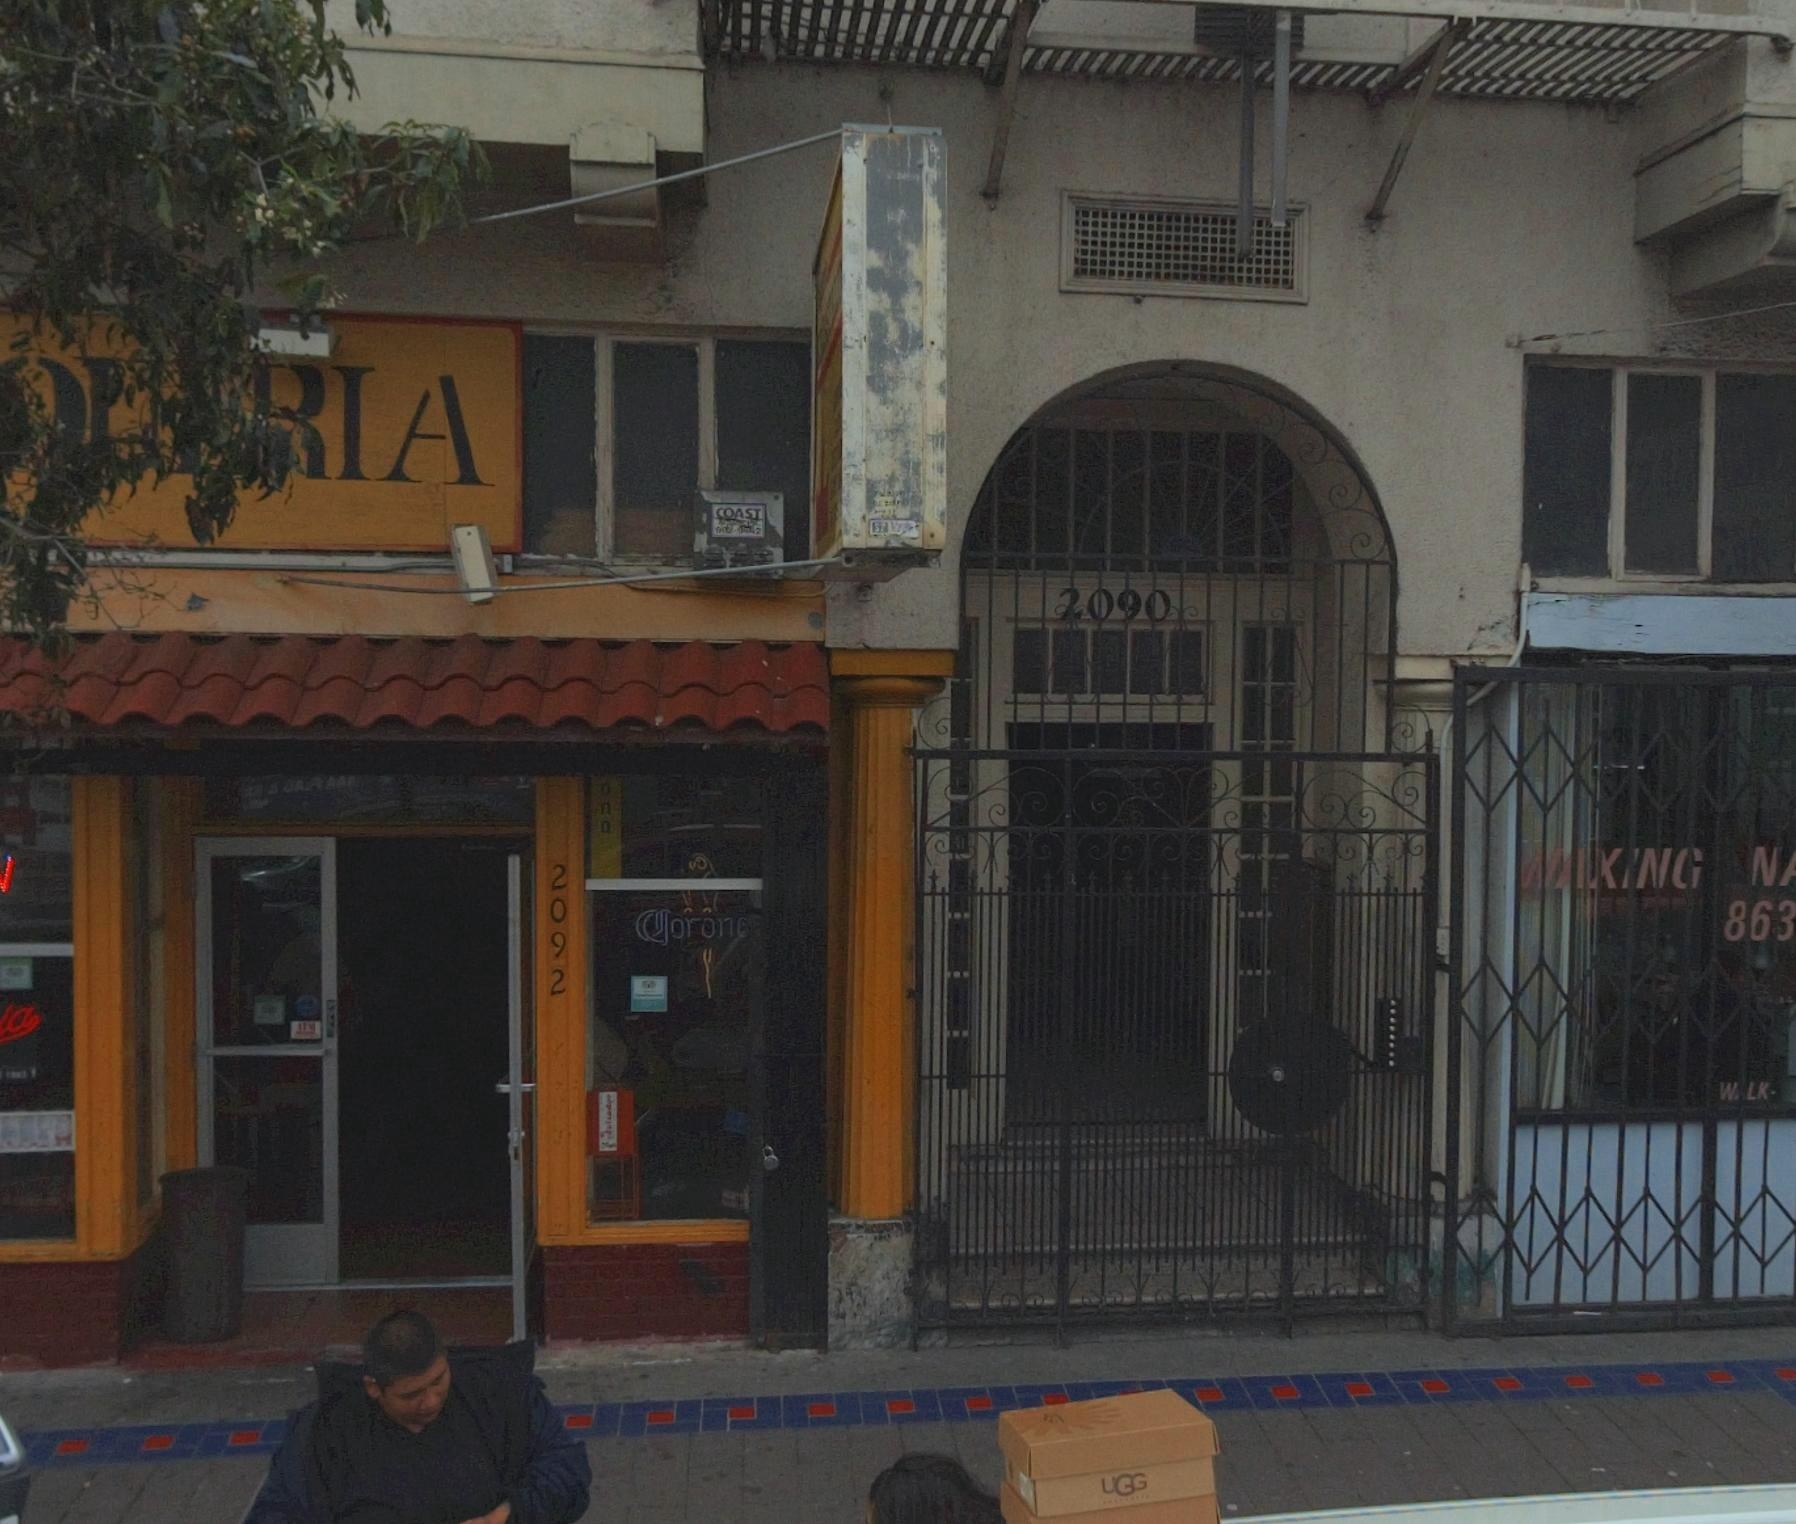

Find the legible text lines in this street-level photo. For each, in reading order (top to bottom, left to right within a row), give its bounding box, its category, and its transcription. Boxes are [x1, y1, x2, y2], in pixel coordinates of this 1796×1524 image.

[326, 358, 503, 490] BusinessName: IA
[714, 504, 763, 521] None: COAST
[1057, 585, 1171, 624] StreetNumber: 2090
[548, 860, 569, 997] StreetNumber: 2092
[634, 907, 734, 947] None: Coron
[1722, 899, 1795, 943] None: 863
[325, 1000, 335, 1030] None: PULL
[1718, 1081, 1770, 1102] None: W*LK